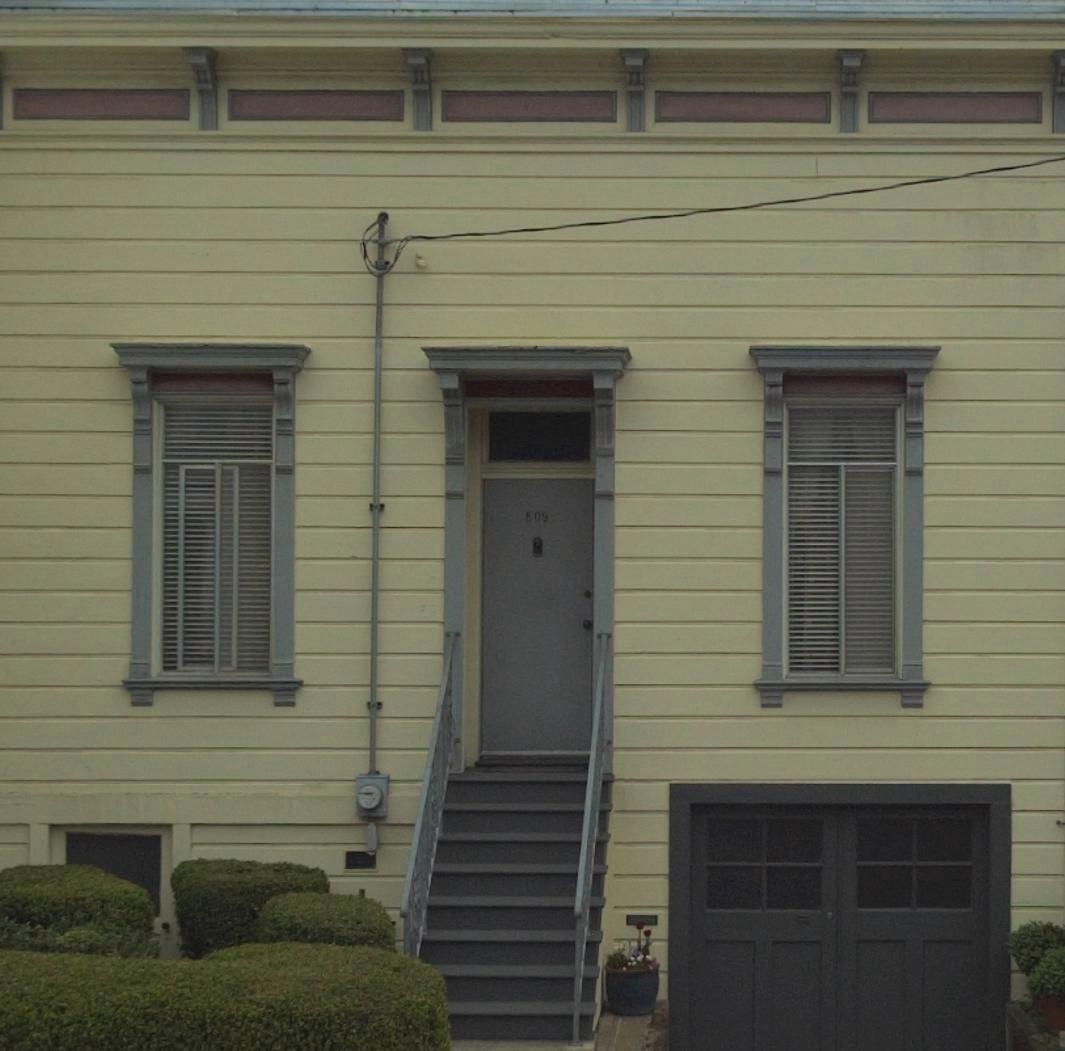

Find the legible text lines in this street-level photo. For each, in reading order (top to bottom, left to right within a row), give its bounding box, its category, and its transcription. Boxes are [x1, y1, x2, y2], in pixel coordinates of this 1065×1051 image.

[524, 509, 550, 524] StreetNumber: 809